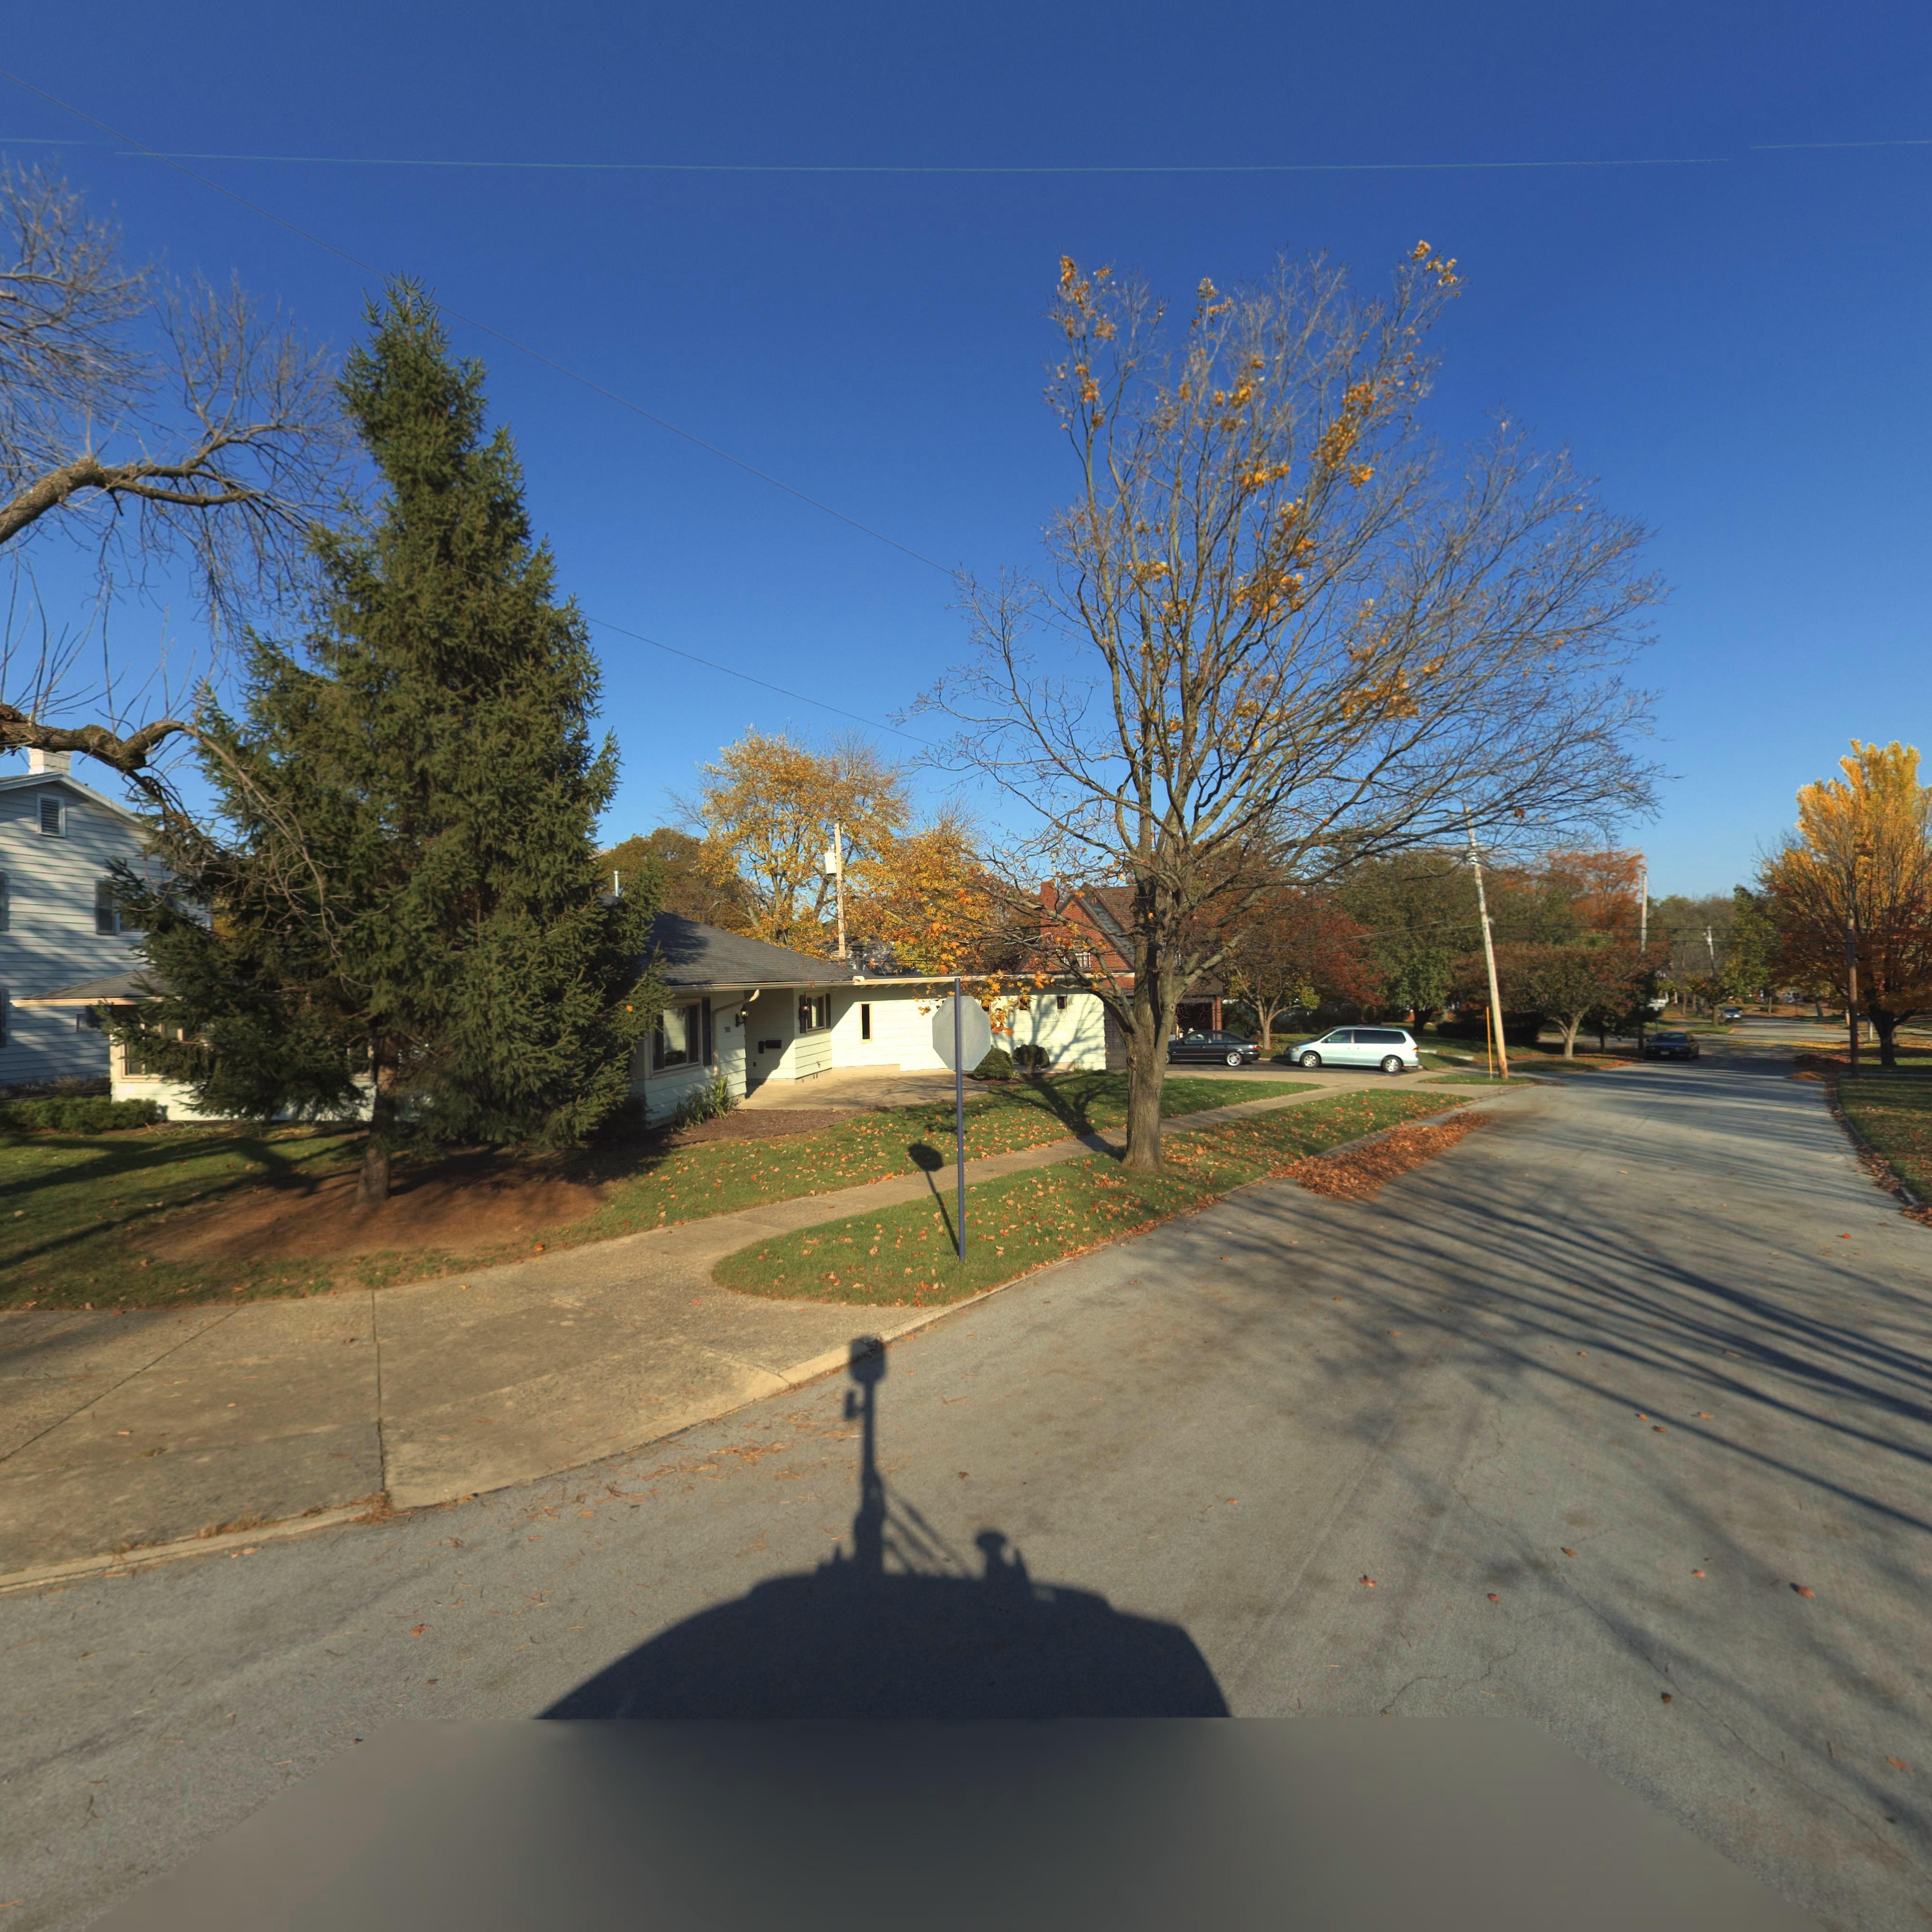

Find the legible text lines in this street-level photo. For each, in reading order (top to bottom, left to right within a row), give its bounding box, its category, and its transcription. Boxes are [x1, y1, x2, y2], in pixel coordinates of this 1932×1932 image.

[724, 1025, 731, 1034] StreetNumber: 501